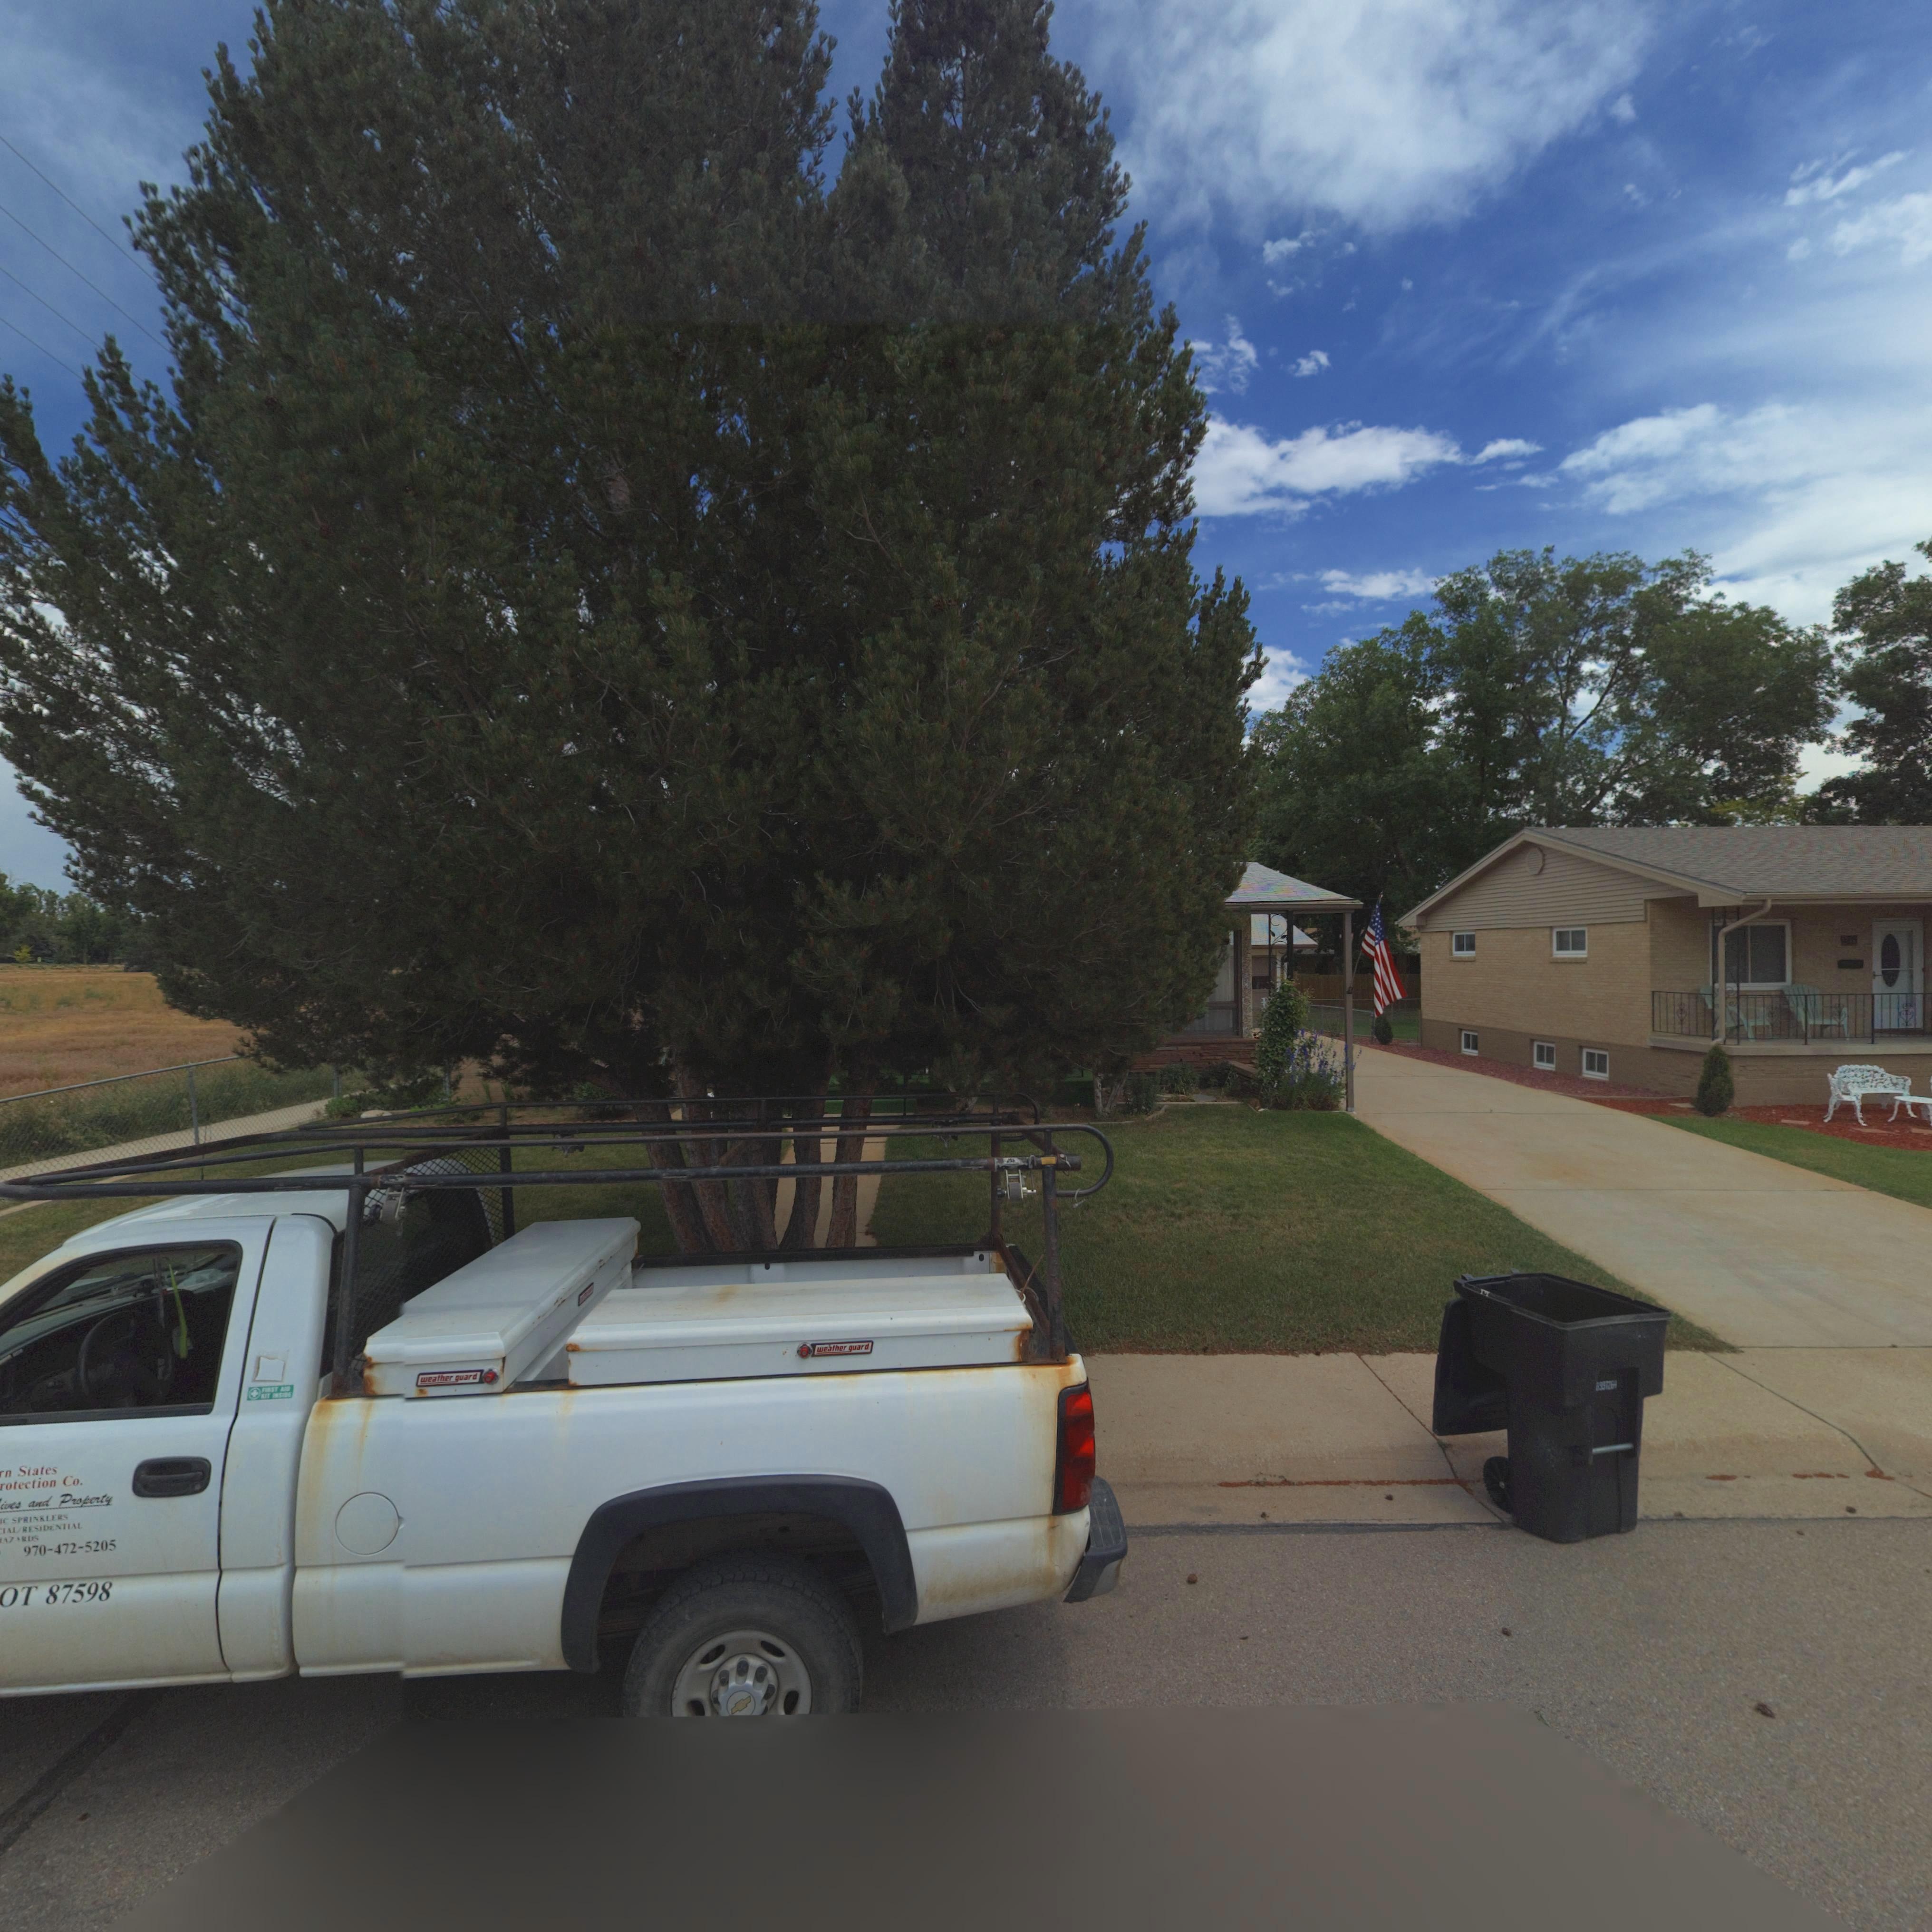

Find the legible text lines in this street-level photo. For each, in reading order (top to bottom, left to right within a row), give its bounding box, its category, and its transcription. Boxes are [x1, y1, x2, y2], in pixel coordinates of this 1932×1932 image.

[1840, 936, 1857, 945] StreetNumber: 1344